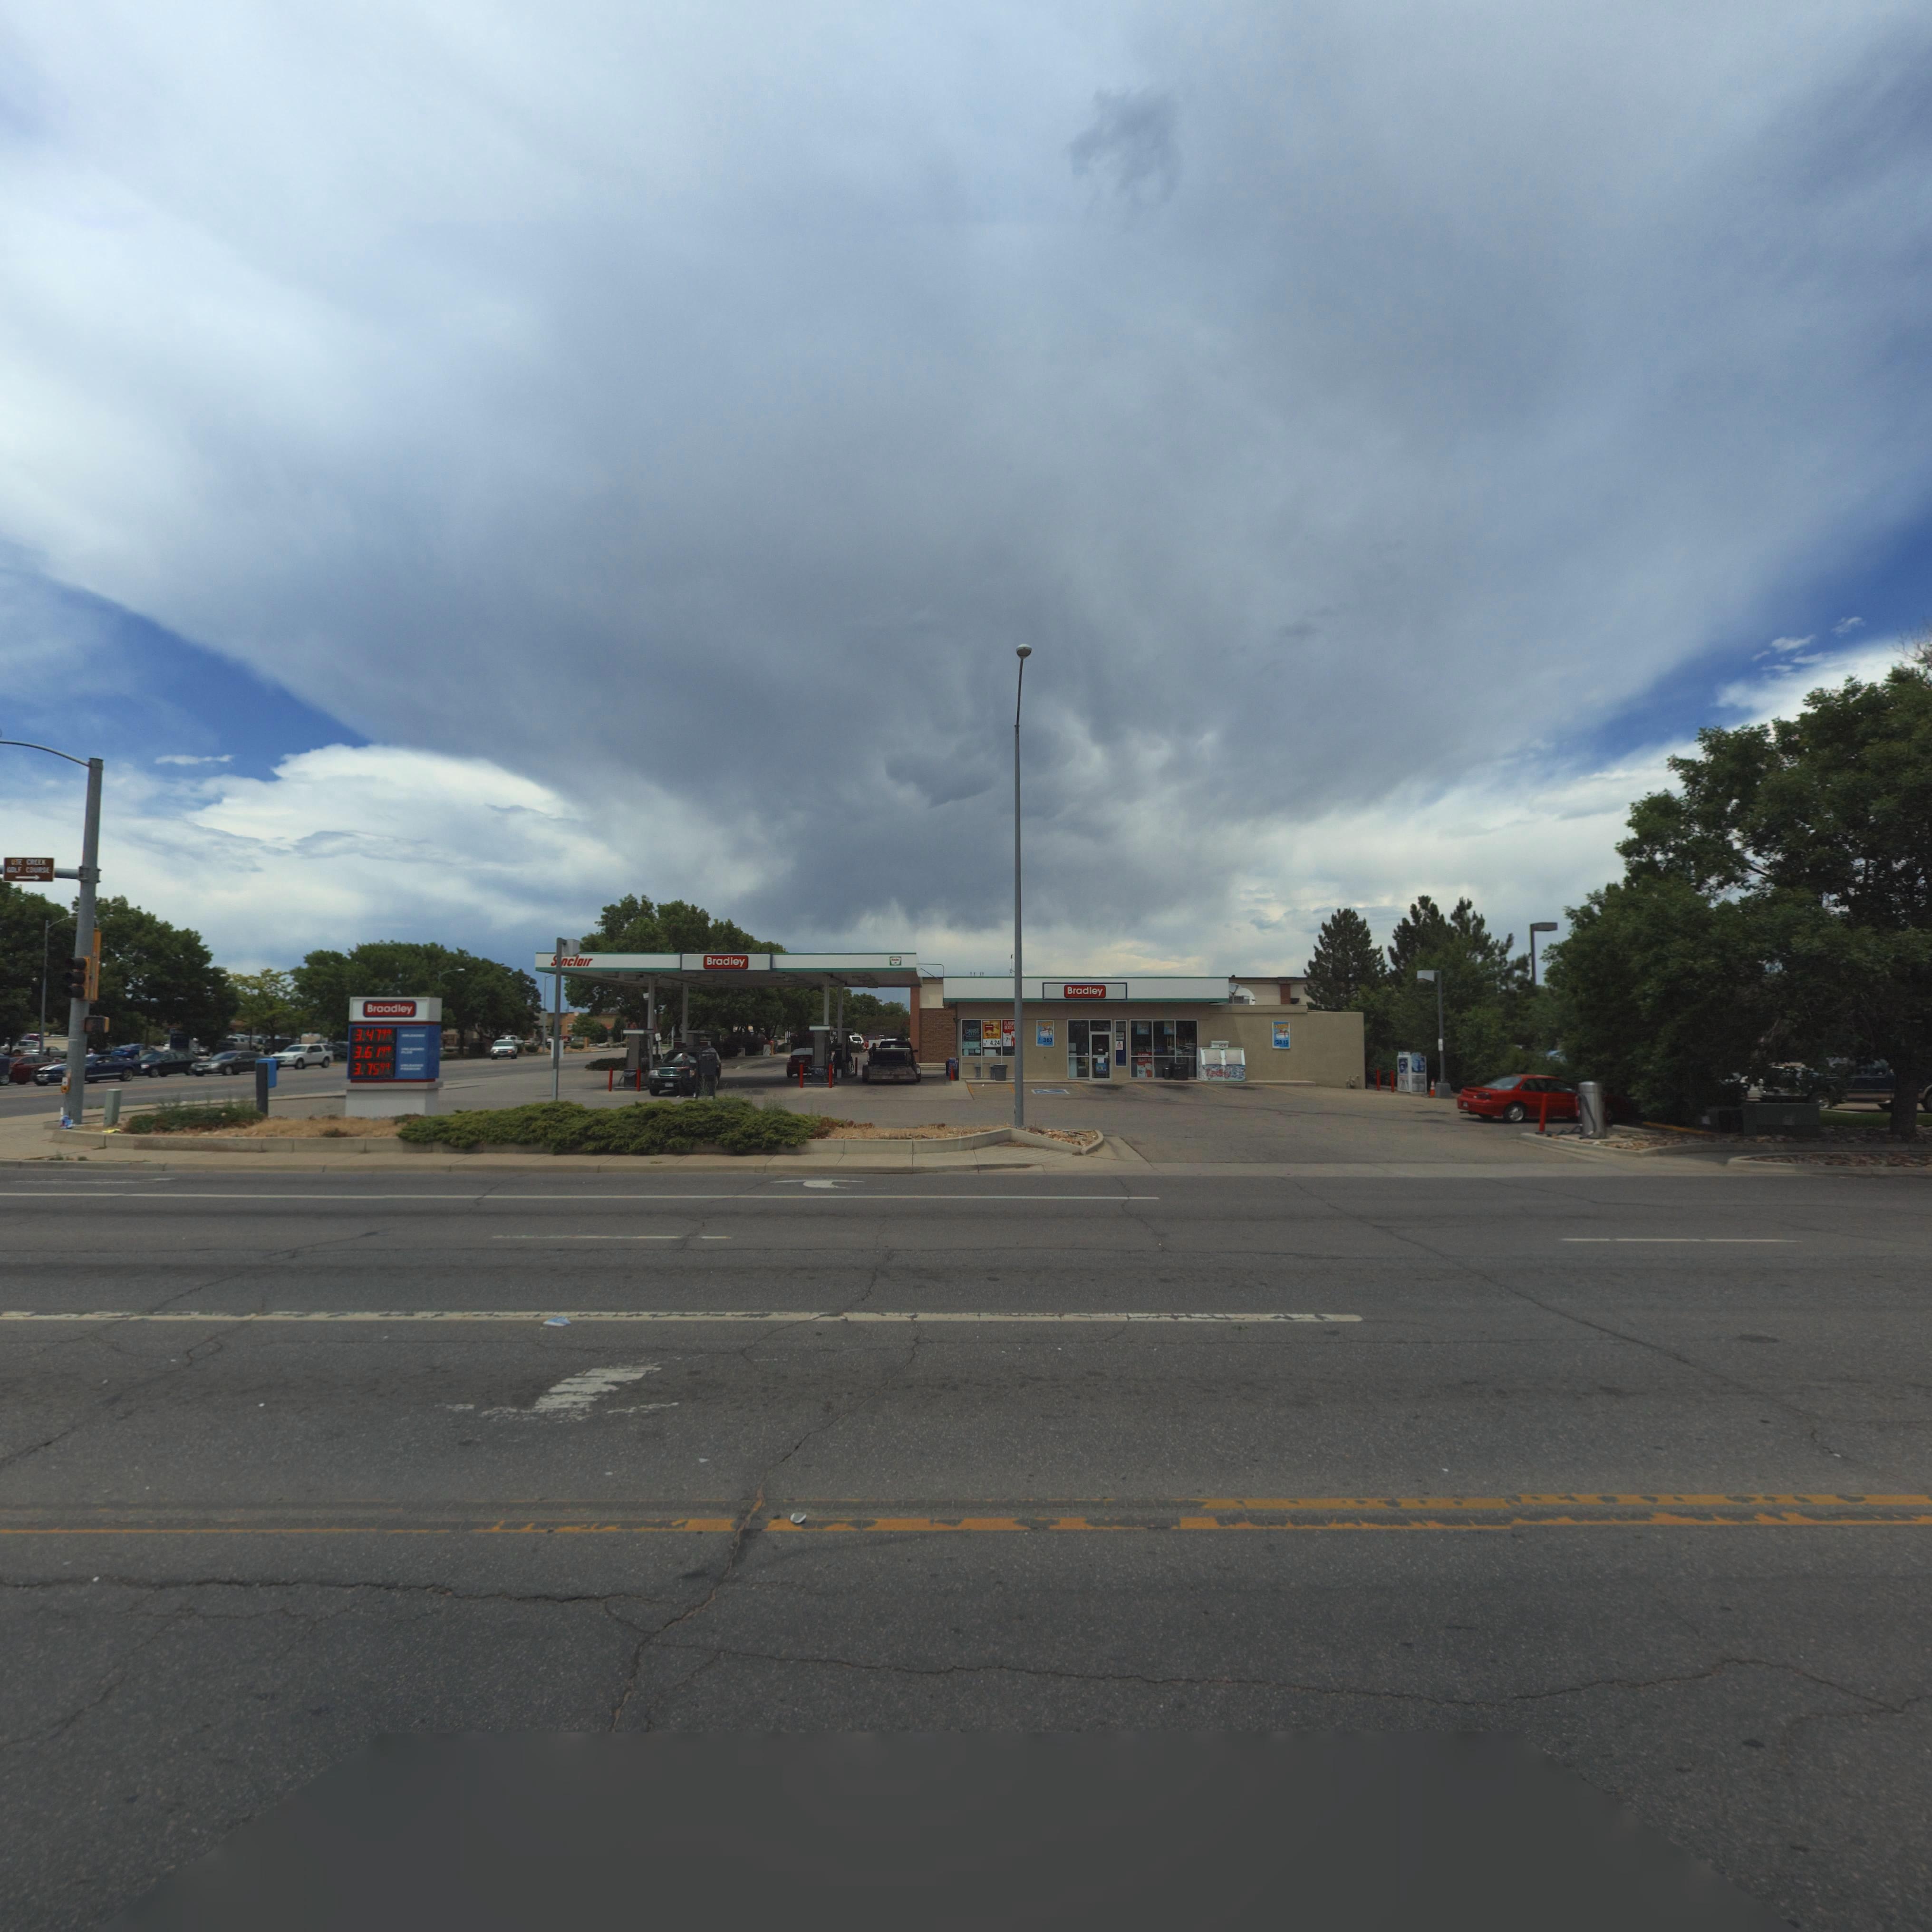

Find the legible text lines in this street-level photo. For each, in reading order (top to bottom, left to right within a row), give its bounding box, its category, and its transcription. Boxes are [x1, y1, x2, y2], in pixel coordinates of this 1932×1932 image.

[550, 955, 593, 966] BusinessName: ***cl*Ir
[706, 956, 745, 967] BusinessName: Bradley
[1067, 986, 1103, 996] BusinessName: Bradley
[367, 1003, 413, 1014] BusinessName: Br**dley